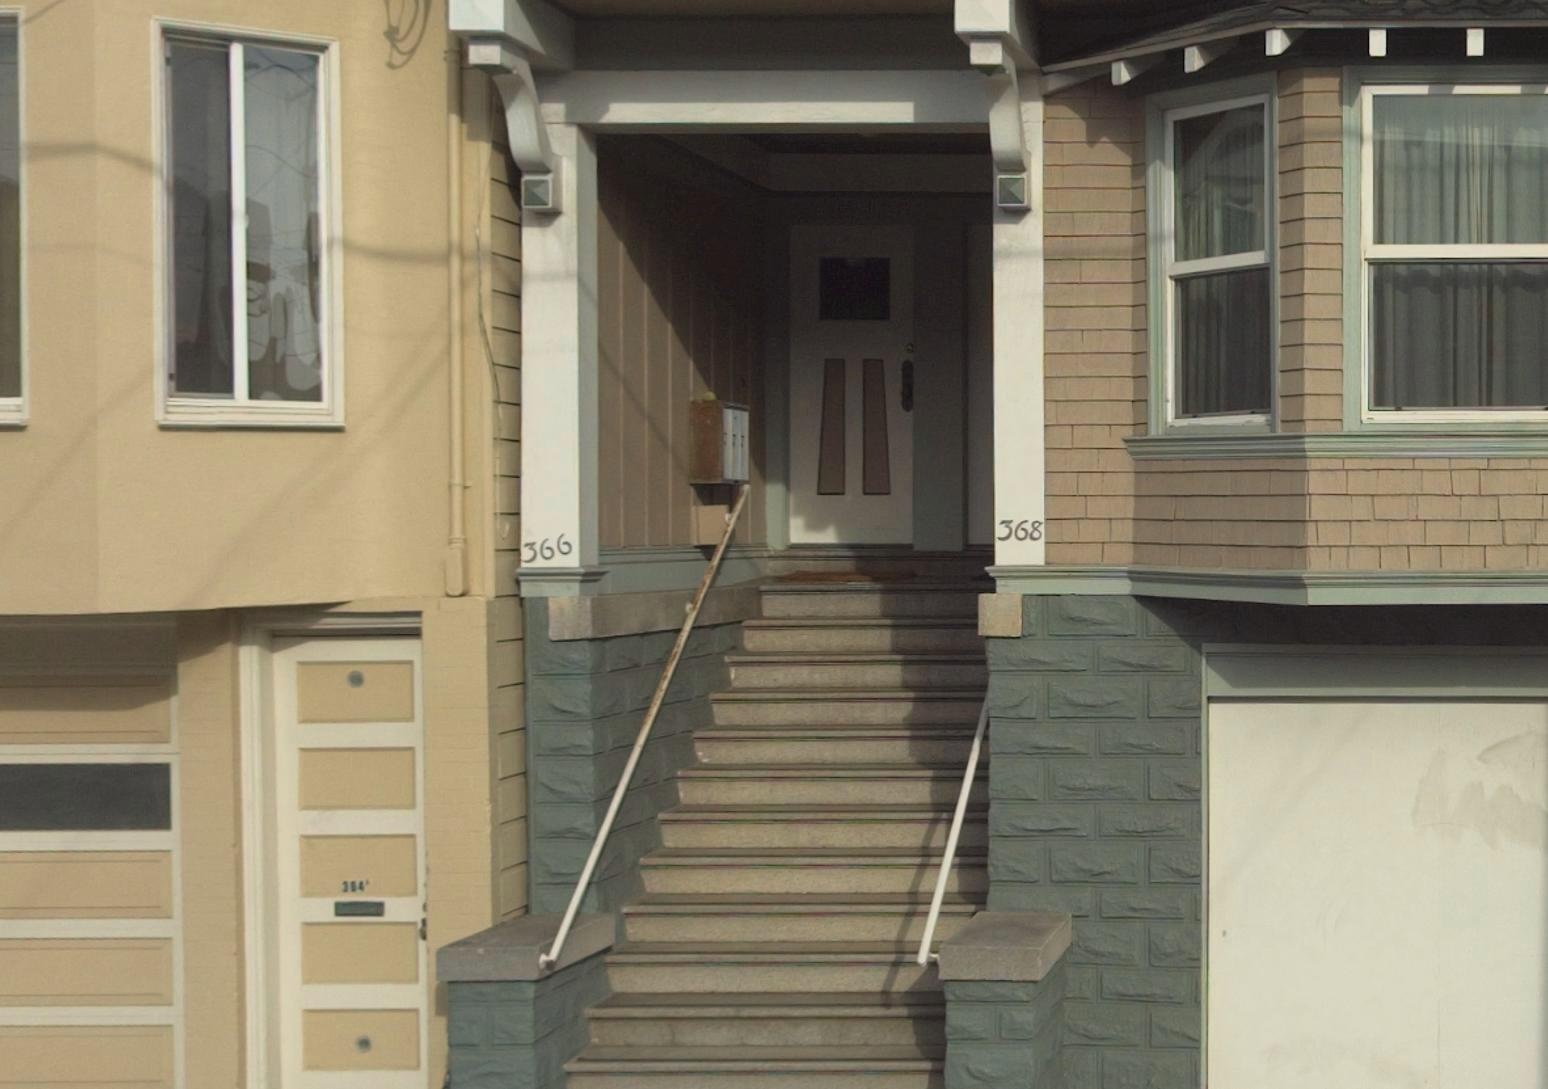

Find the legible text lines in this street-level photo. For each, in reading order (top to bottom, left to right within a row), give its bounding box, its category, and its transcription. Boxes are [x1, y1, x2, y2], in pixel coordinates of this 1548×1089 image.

[994, 519, 1044, 542] StreetNumber: 368
[520, 530, 575, 566] StreetNumber: 366
[341, 880, 365, 894] StreetNumber: 364